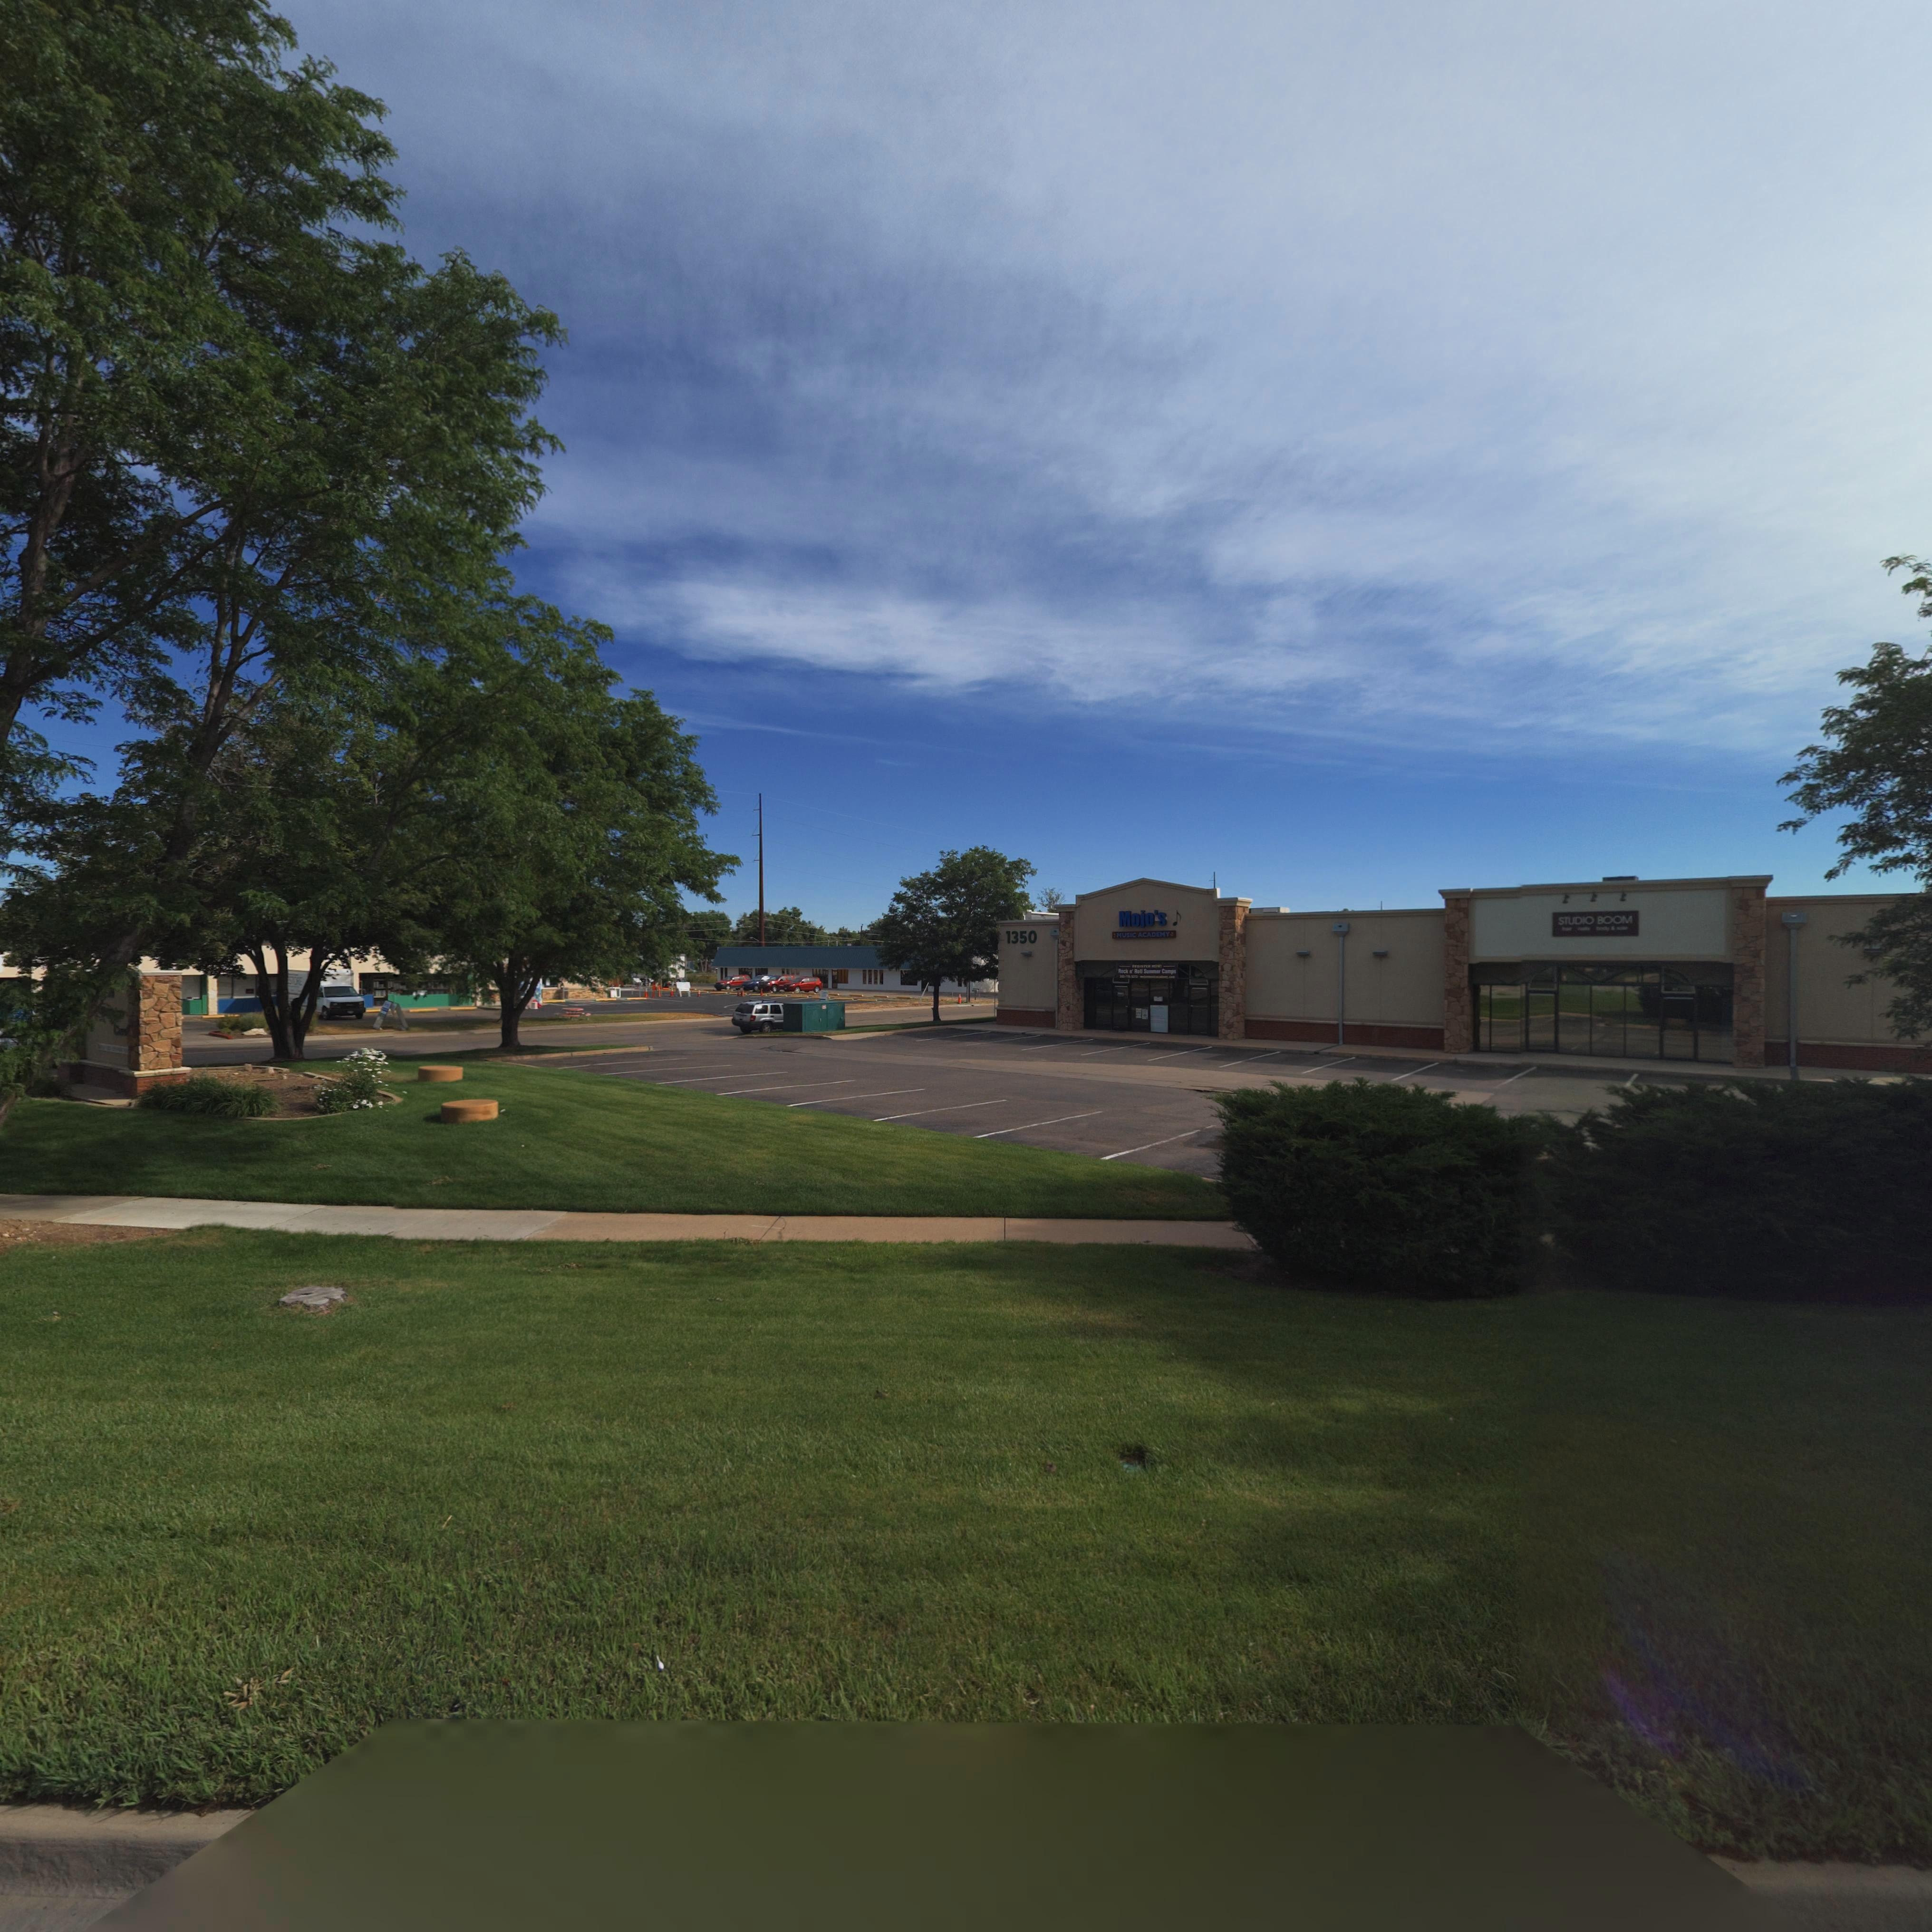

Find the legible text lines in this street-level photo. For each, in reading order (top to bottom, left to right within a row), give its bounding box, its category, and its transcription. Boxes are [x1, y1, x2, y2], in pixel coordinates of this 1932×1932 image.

[1119, 909, 1167, 928] BusinessName: Mojo's
[1557, 915, 1633, 926] BusinessName: STUDIO BOOM
[1005, 929, 1037, 944] StreetNumber: 1350
[1116, 931, 1170, 938] BusinessName: MUSIC ACADEMY